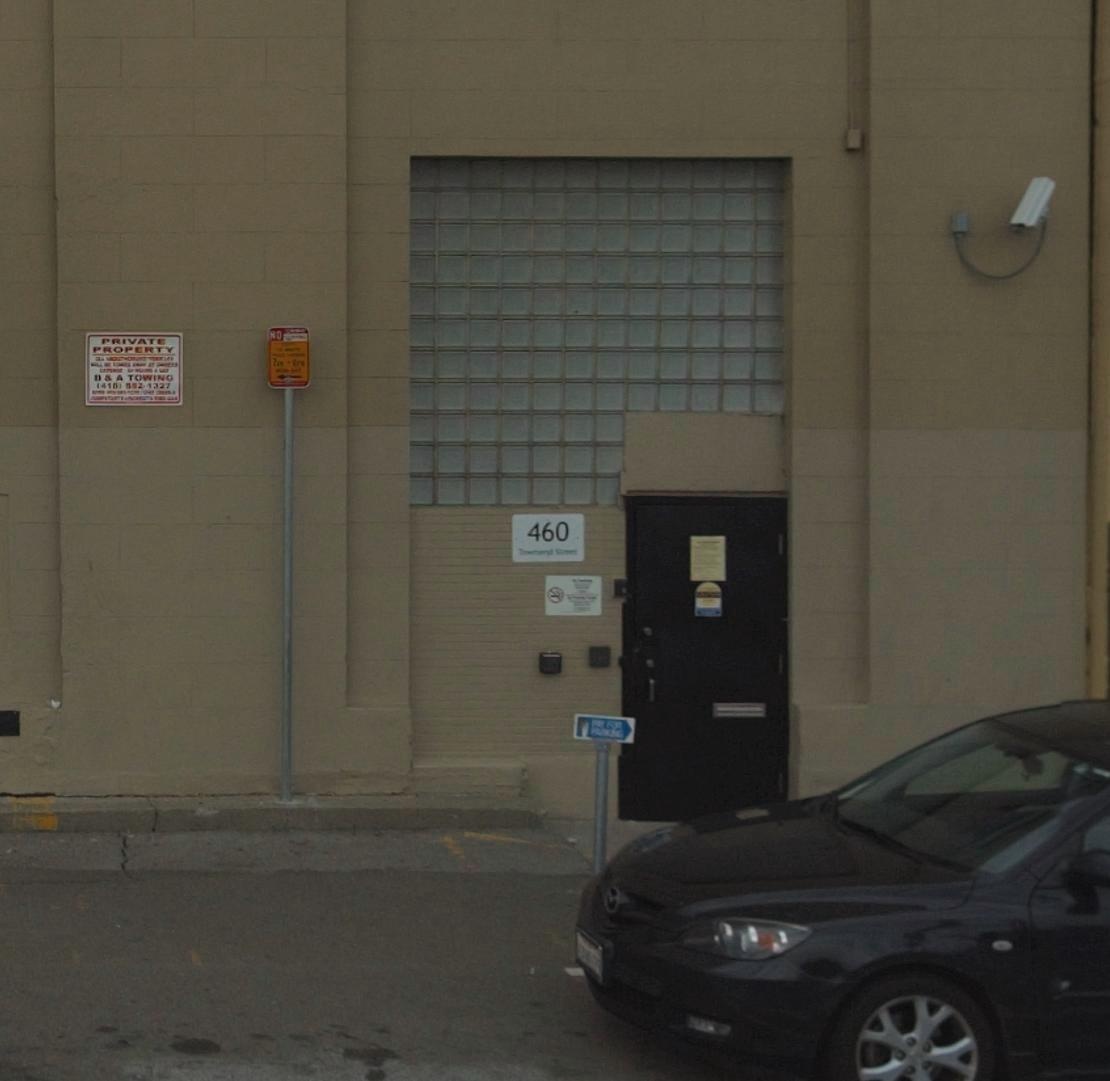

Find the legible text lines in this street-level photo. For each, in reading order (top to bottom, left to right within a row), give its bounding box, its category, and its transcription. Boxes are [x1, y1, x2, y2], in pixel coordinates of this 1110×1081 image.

[267, 329, 284, 342] None: NO
[99, 336, 167, 347] None: PRIVATE
[90, 344, 176, 355] None: PROPERTY
[92, 372, 176, 383] None: B * A TOWING
[525, 519, 571, 544] StreetNumber: 460